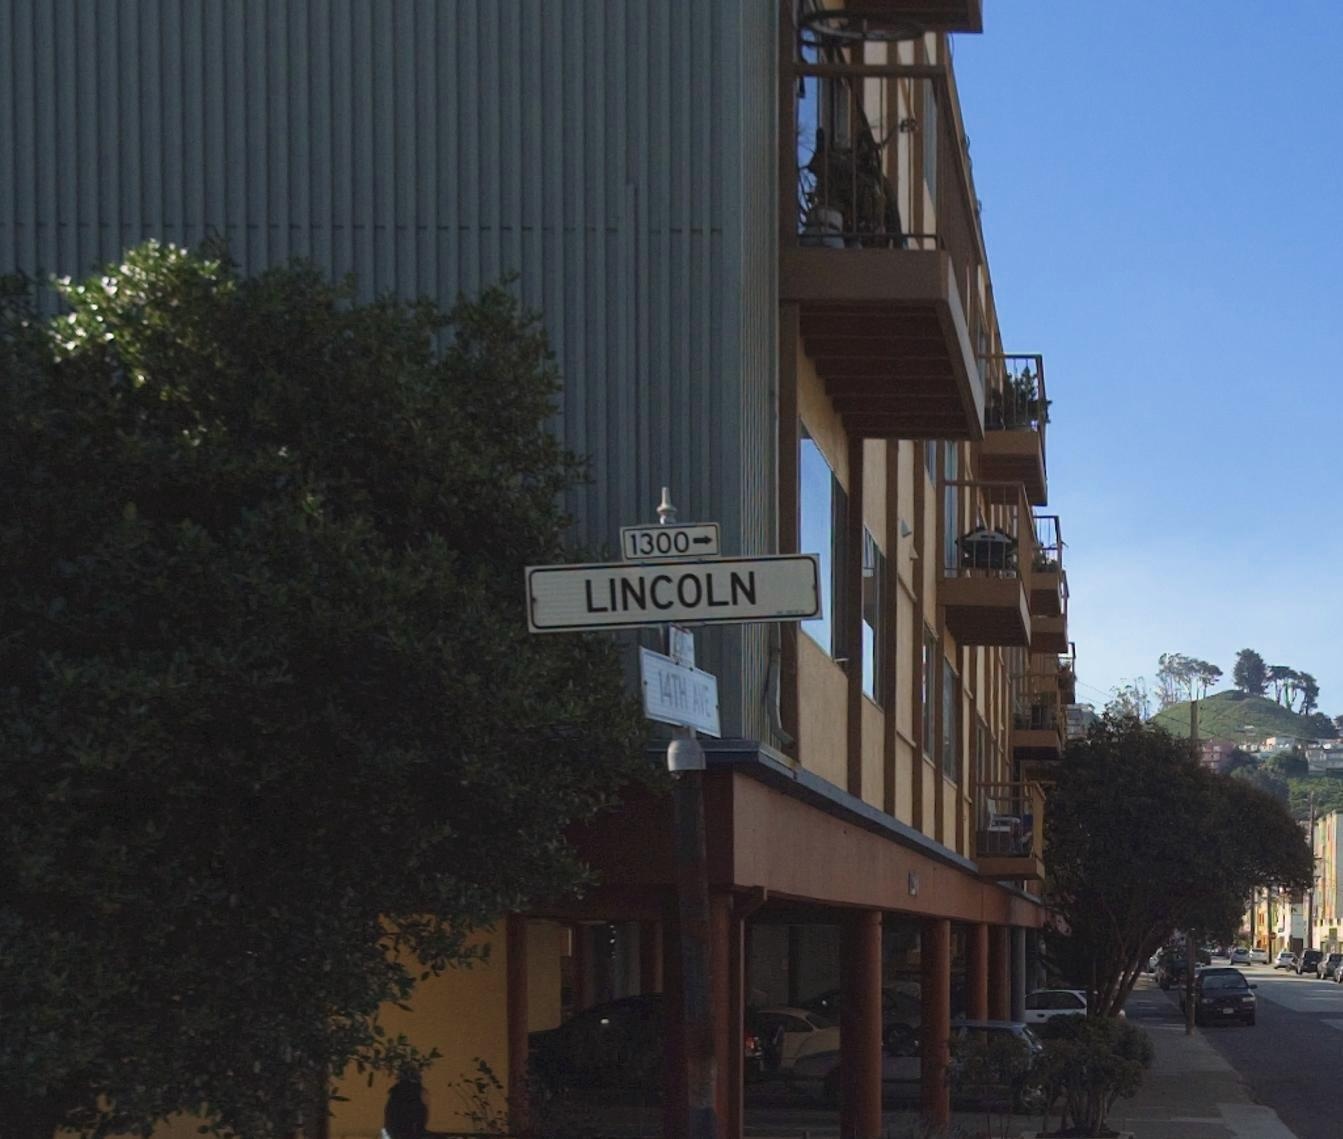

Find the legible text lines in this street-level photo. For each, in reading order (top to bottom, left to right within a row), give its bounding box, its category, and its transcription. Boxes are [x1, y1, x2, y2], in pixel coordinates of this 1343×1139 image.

[627, 525, 714, 557] StreetNumberRange: 1300->
[581, 569, 760, 615] StreetName: LINCOLN
[655, 664, 714, 722] StreetName: 14TH AVE